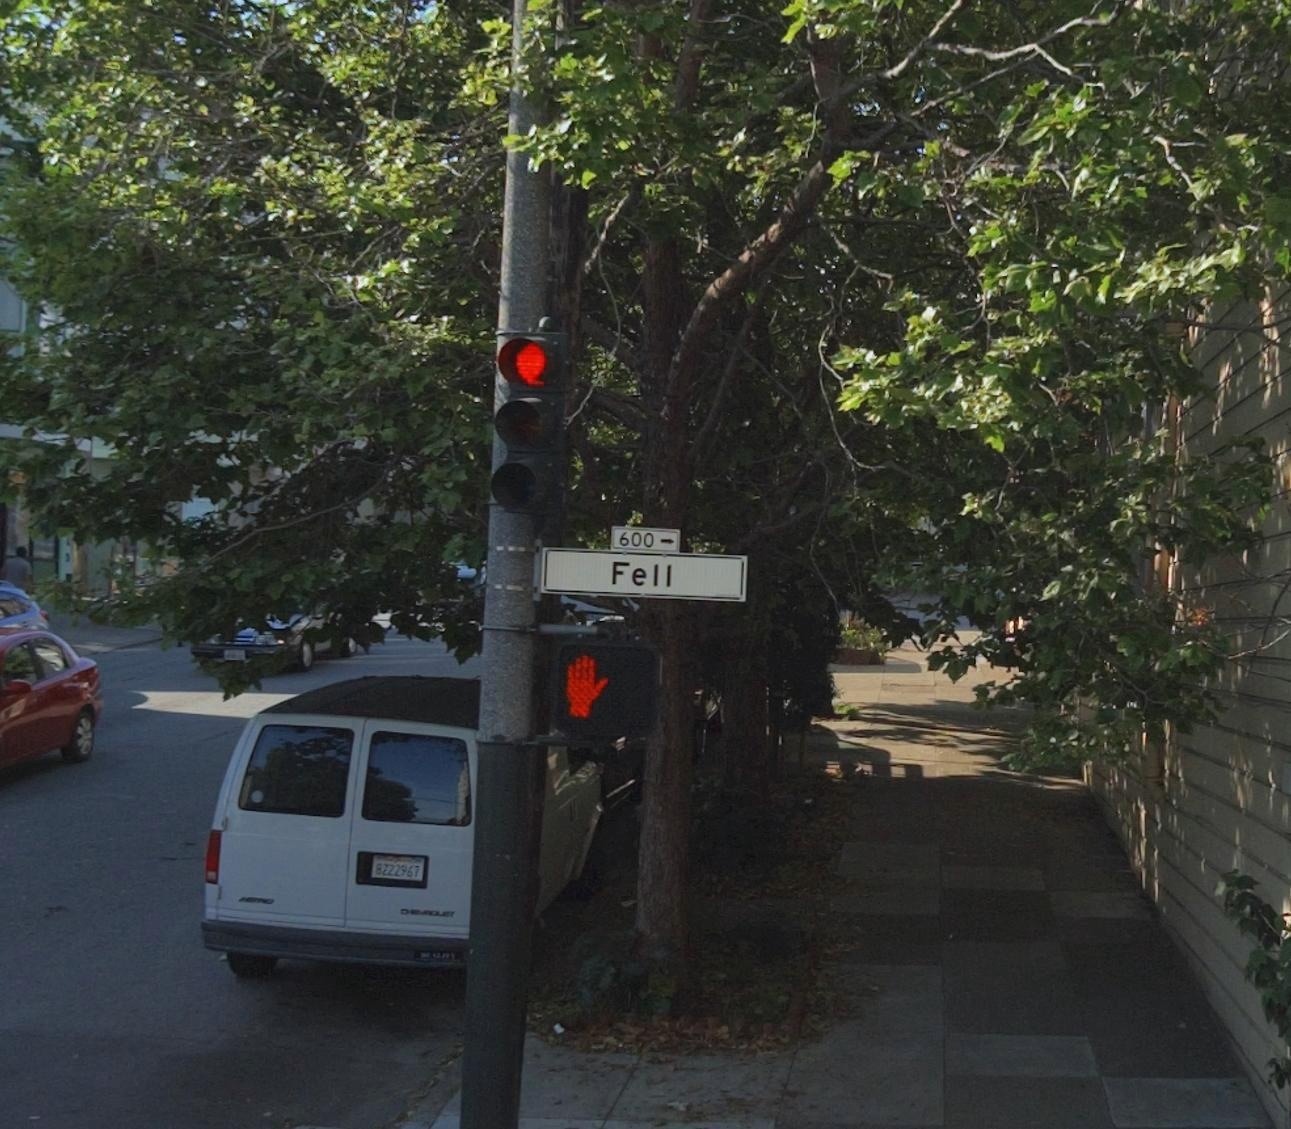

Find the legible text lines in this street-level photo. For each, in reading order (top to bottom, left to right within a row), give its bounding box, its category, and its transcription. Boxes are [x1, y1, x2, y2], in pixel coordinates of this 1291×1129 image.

[615, 526, 676, 554] StreetNumberRange: 600->
[608, 556, 673, 591] StreetName: Fell
[373, 859, 423, 882] None: 0z22967